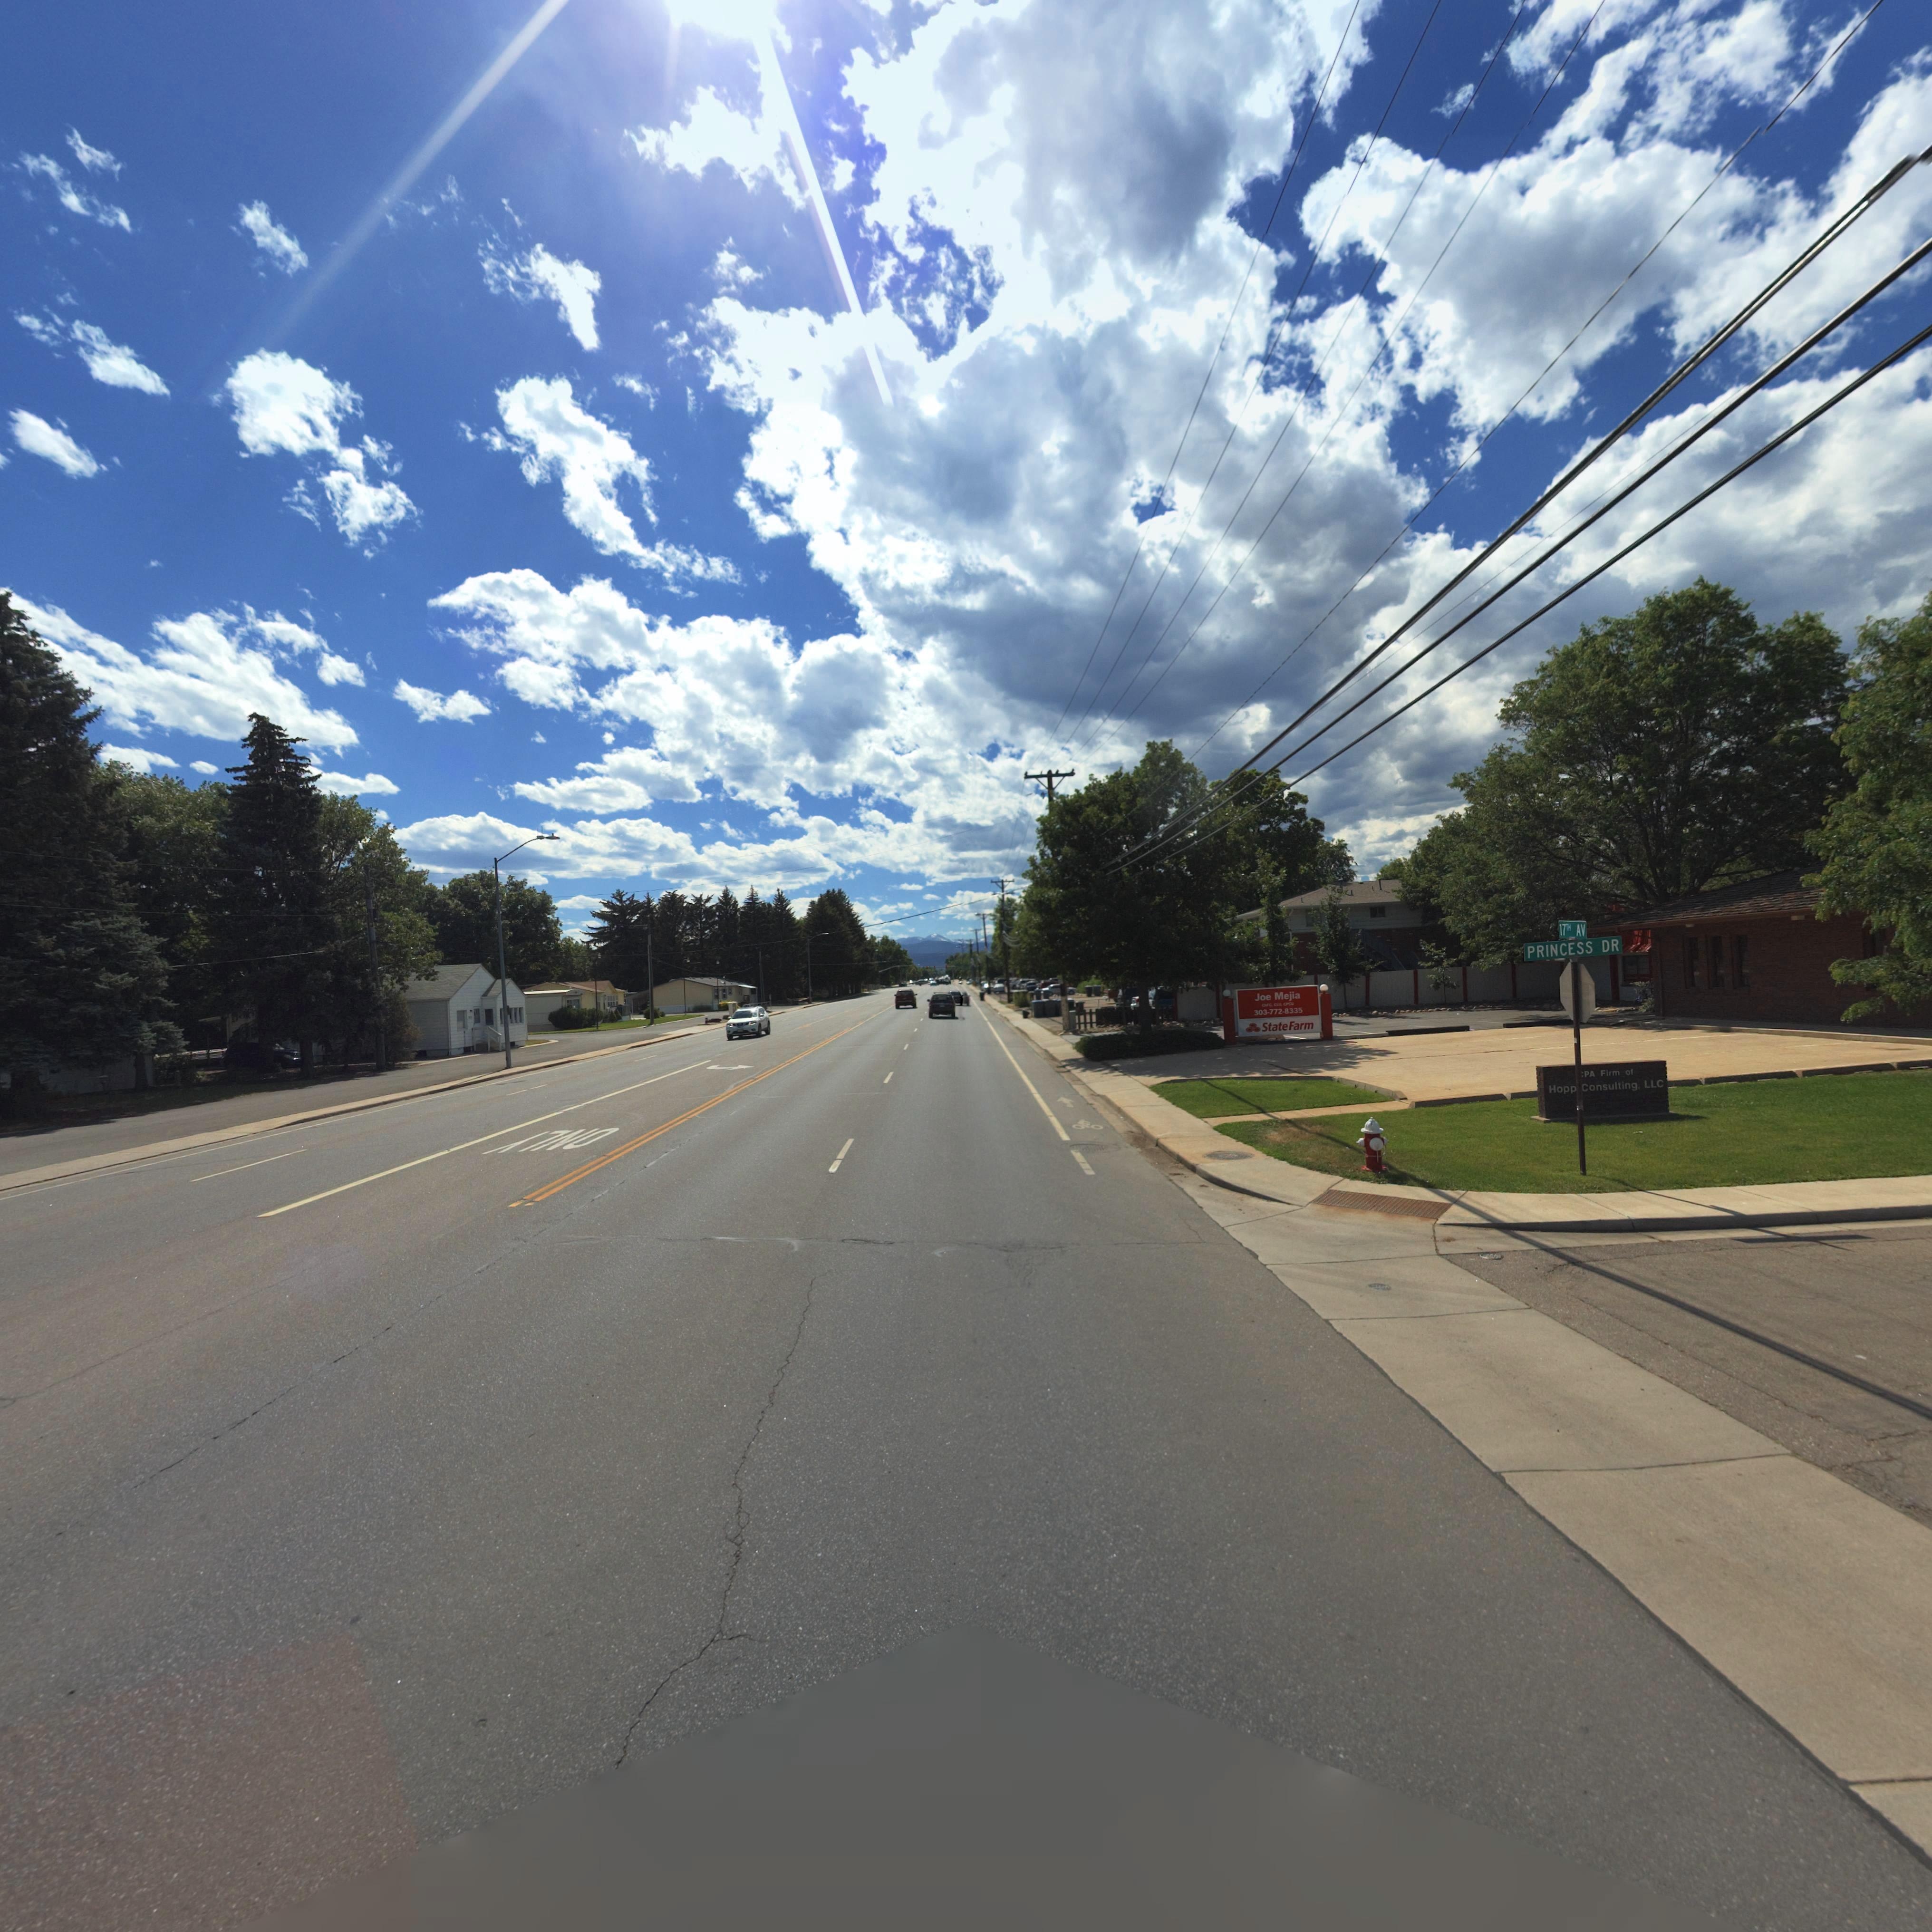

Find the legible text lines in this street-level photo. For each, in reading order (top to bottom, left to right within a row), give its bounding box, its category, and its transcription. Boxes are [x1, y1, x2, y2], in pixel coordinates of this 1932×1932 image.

[1558, 922, 1586, 937] StreetName: 17TH AV
[1525, 937, 1622, 960] StreetName: PRINCESS DR
[1261, 1020, 1314, 1032] BusinessName: State Farm
[1577, 1068, 1634, 1079] BusinessName: *PA Firm of
[1548, 1078, 1664, 1095] BusinessName: Hopp Consulting, LLC